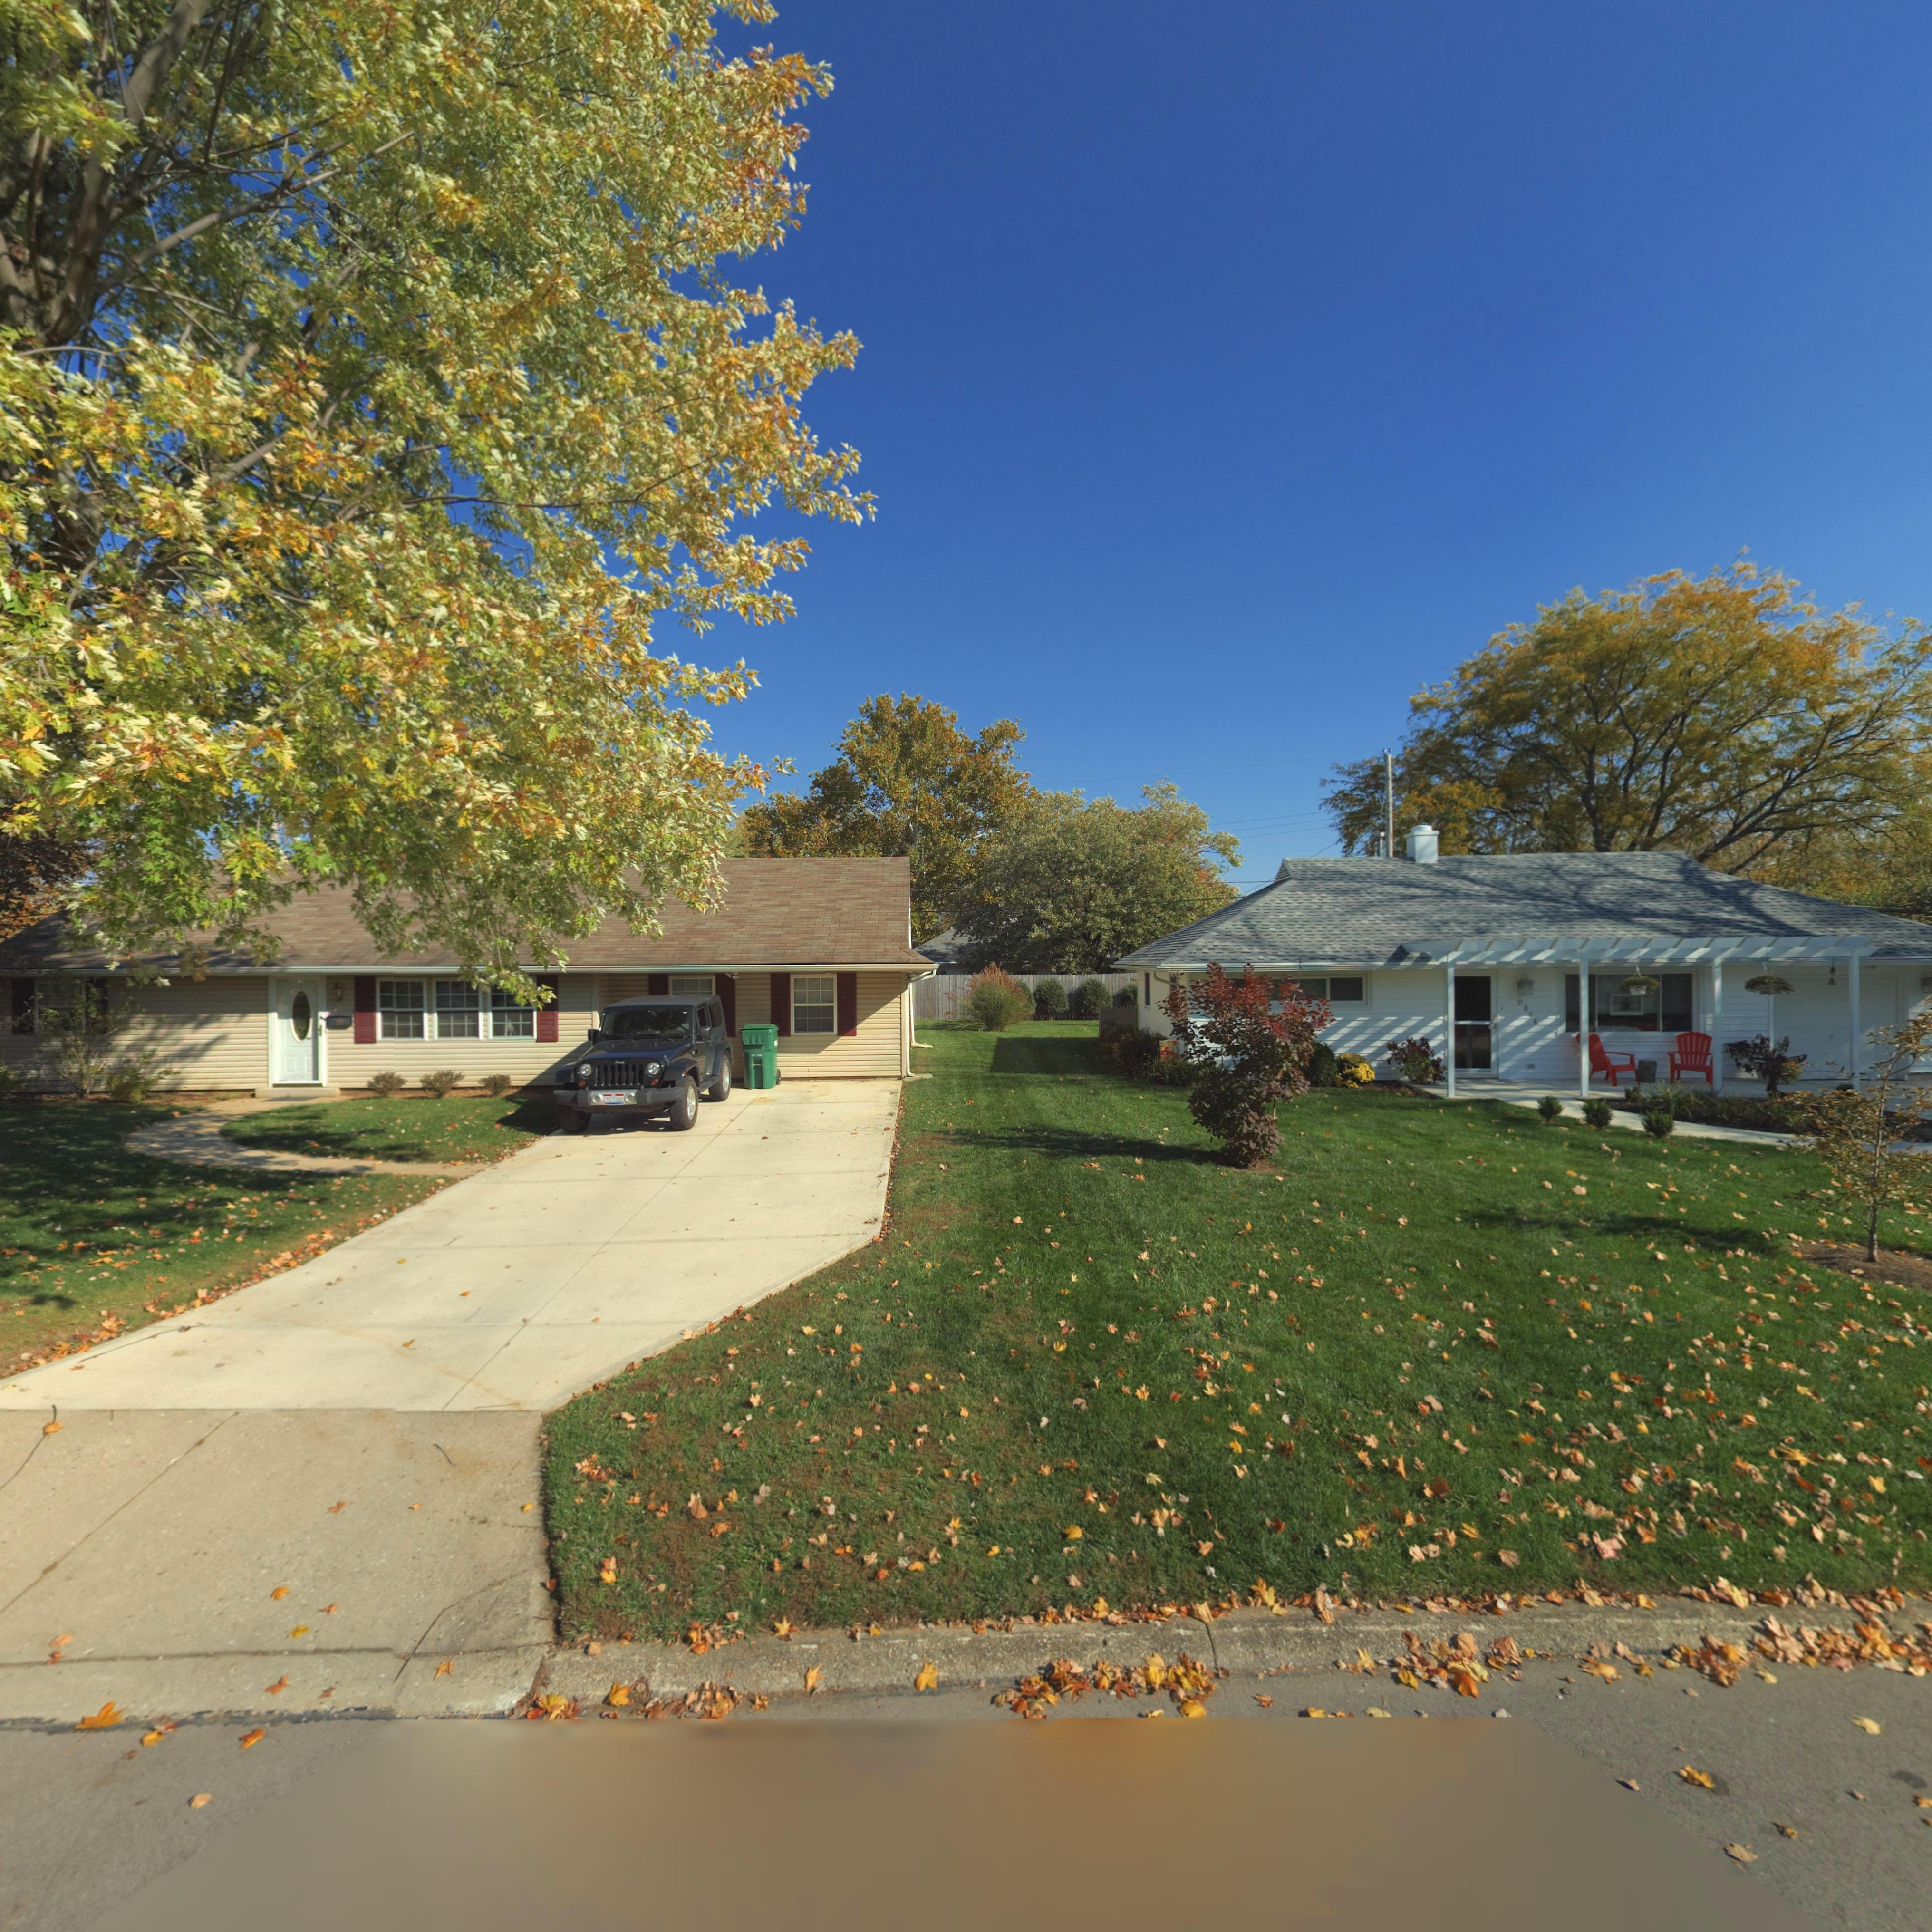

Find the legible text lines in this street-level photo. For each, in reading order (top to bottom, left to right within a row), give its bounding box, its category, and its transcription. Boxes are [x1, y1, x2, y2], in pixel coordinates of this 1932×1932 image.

[1516, 996, 1539, 1027] StreetNumber: *808